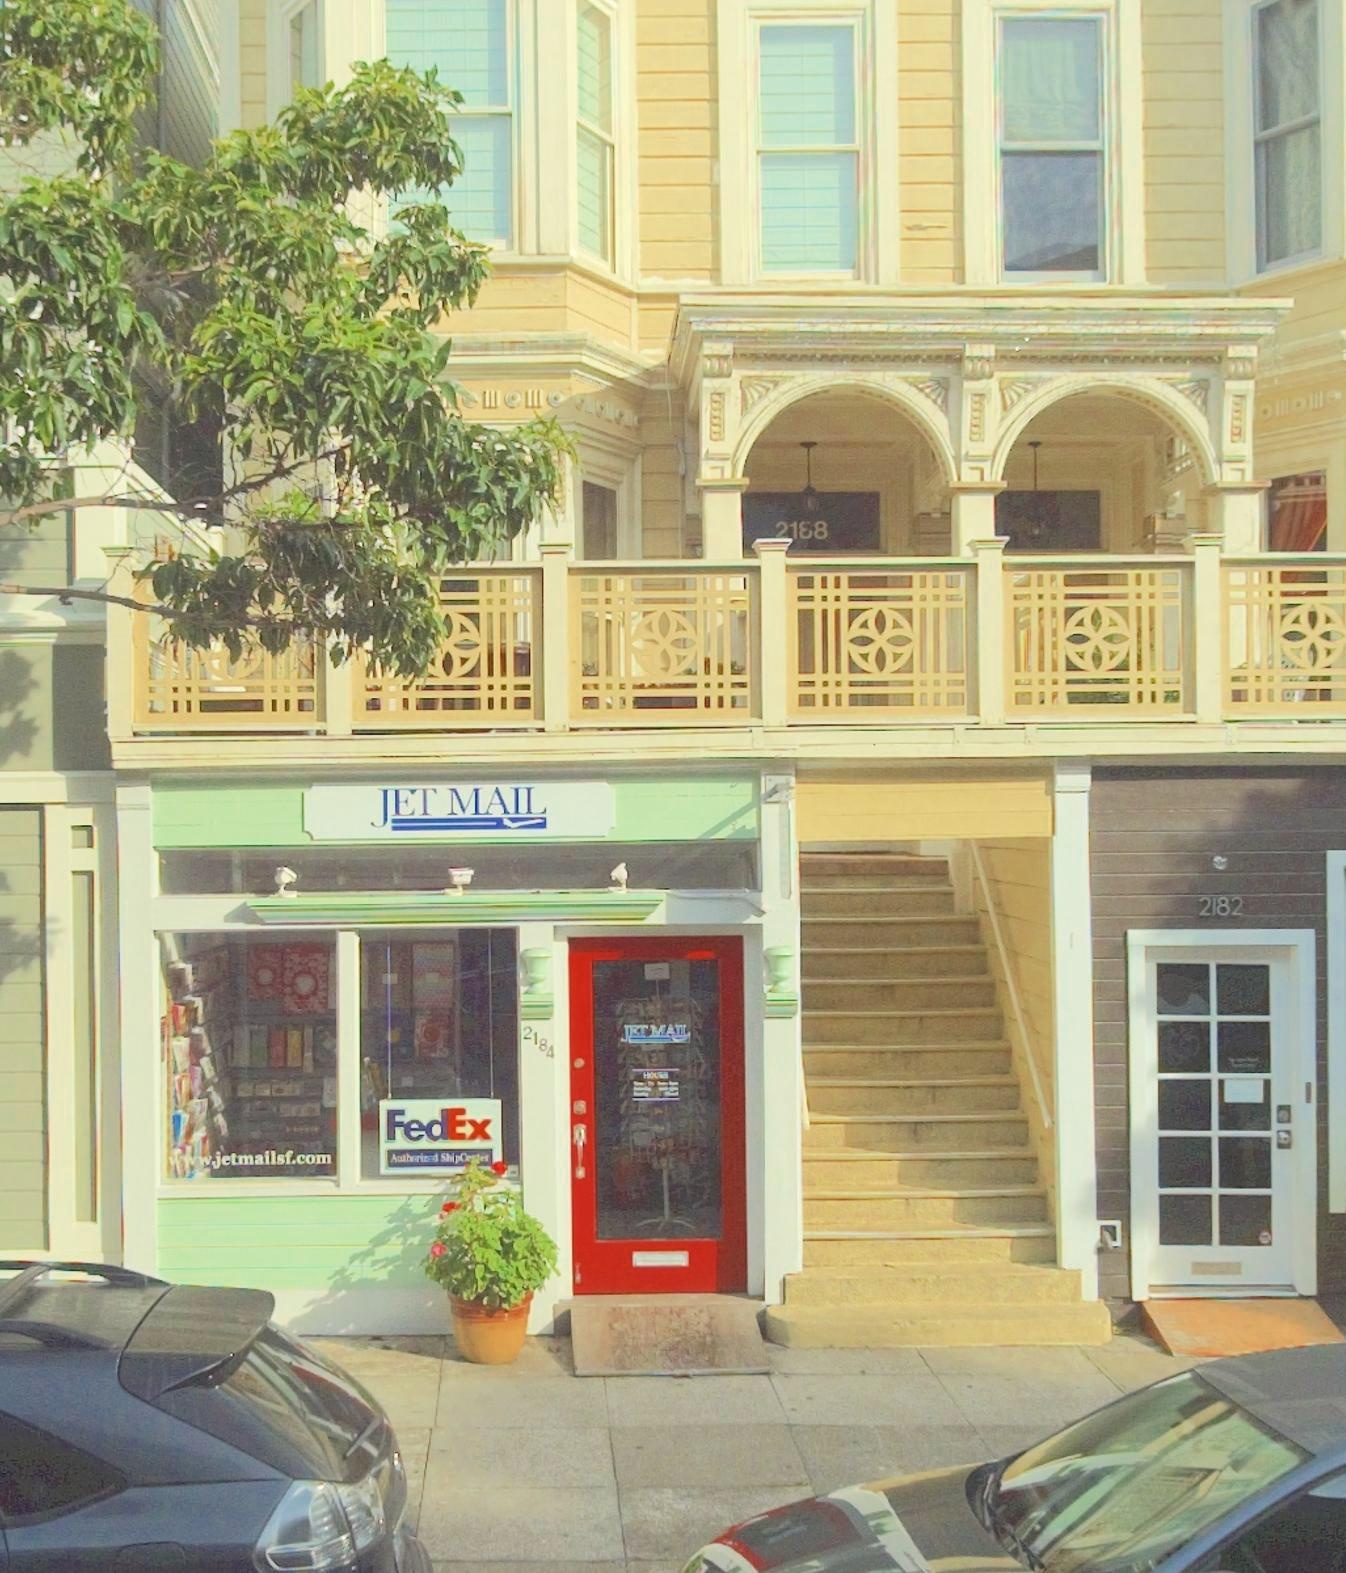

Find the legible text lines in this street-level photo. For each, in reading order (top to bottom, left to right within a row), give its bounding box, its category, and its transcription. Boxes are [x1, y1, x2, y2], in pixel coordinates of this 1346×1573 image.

[773, 518, 830, 542] StreetNumber: 21*8
[366, 784, 549, 831] BusinessName: JET MAIL
[1196, 894, 1246, 919] StreetNumber: 2182
[521, 1024, 557, 1061] StreetNumber: 2184
[617, 1021, 693, 1046] BusinessName: JET MAIL
[383, 1105, 497, 1144] None: FedEx
[166, 1147, 335, 1172] None: ww.jetmailsf.com
[387, 1149, 493, 1166] None: Authorized Ship Ce**er